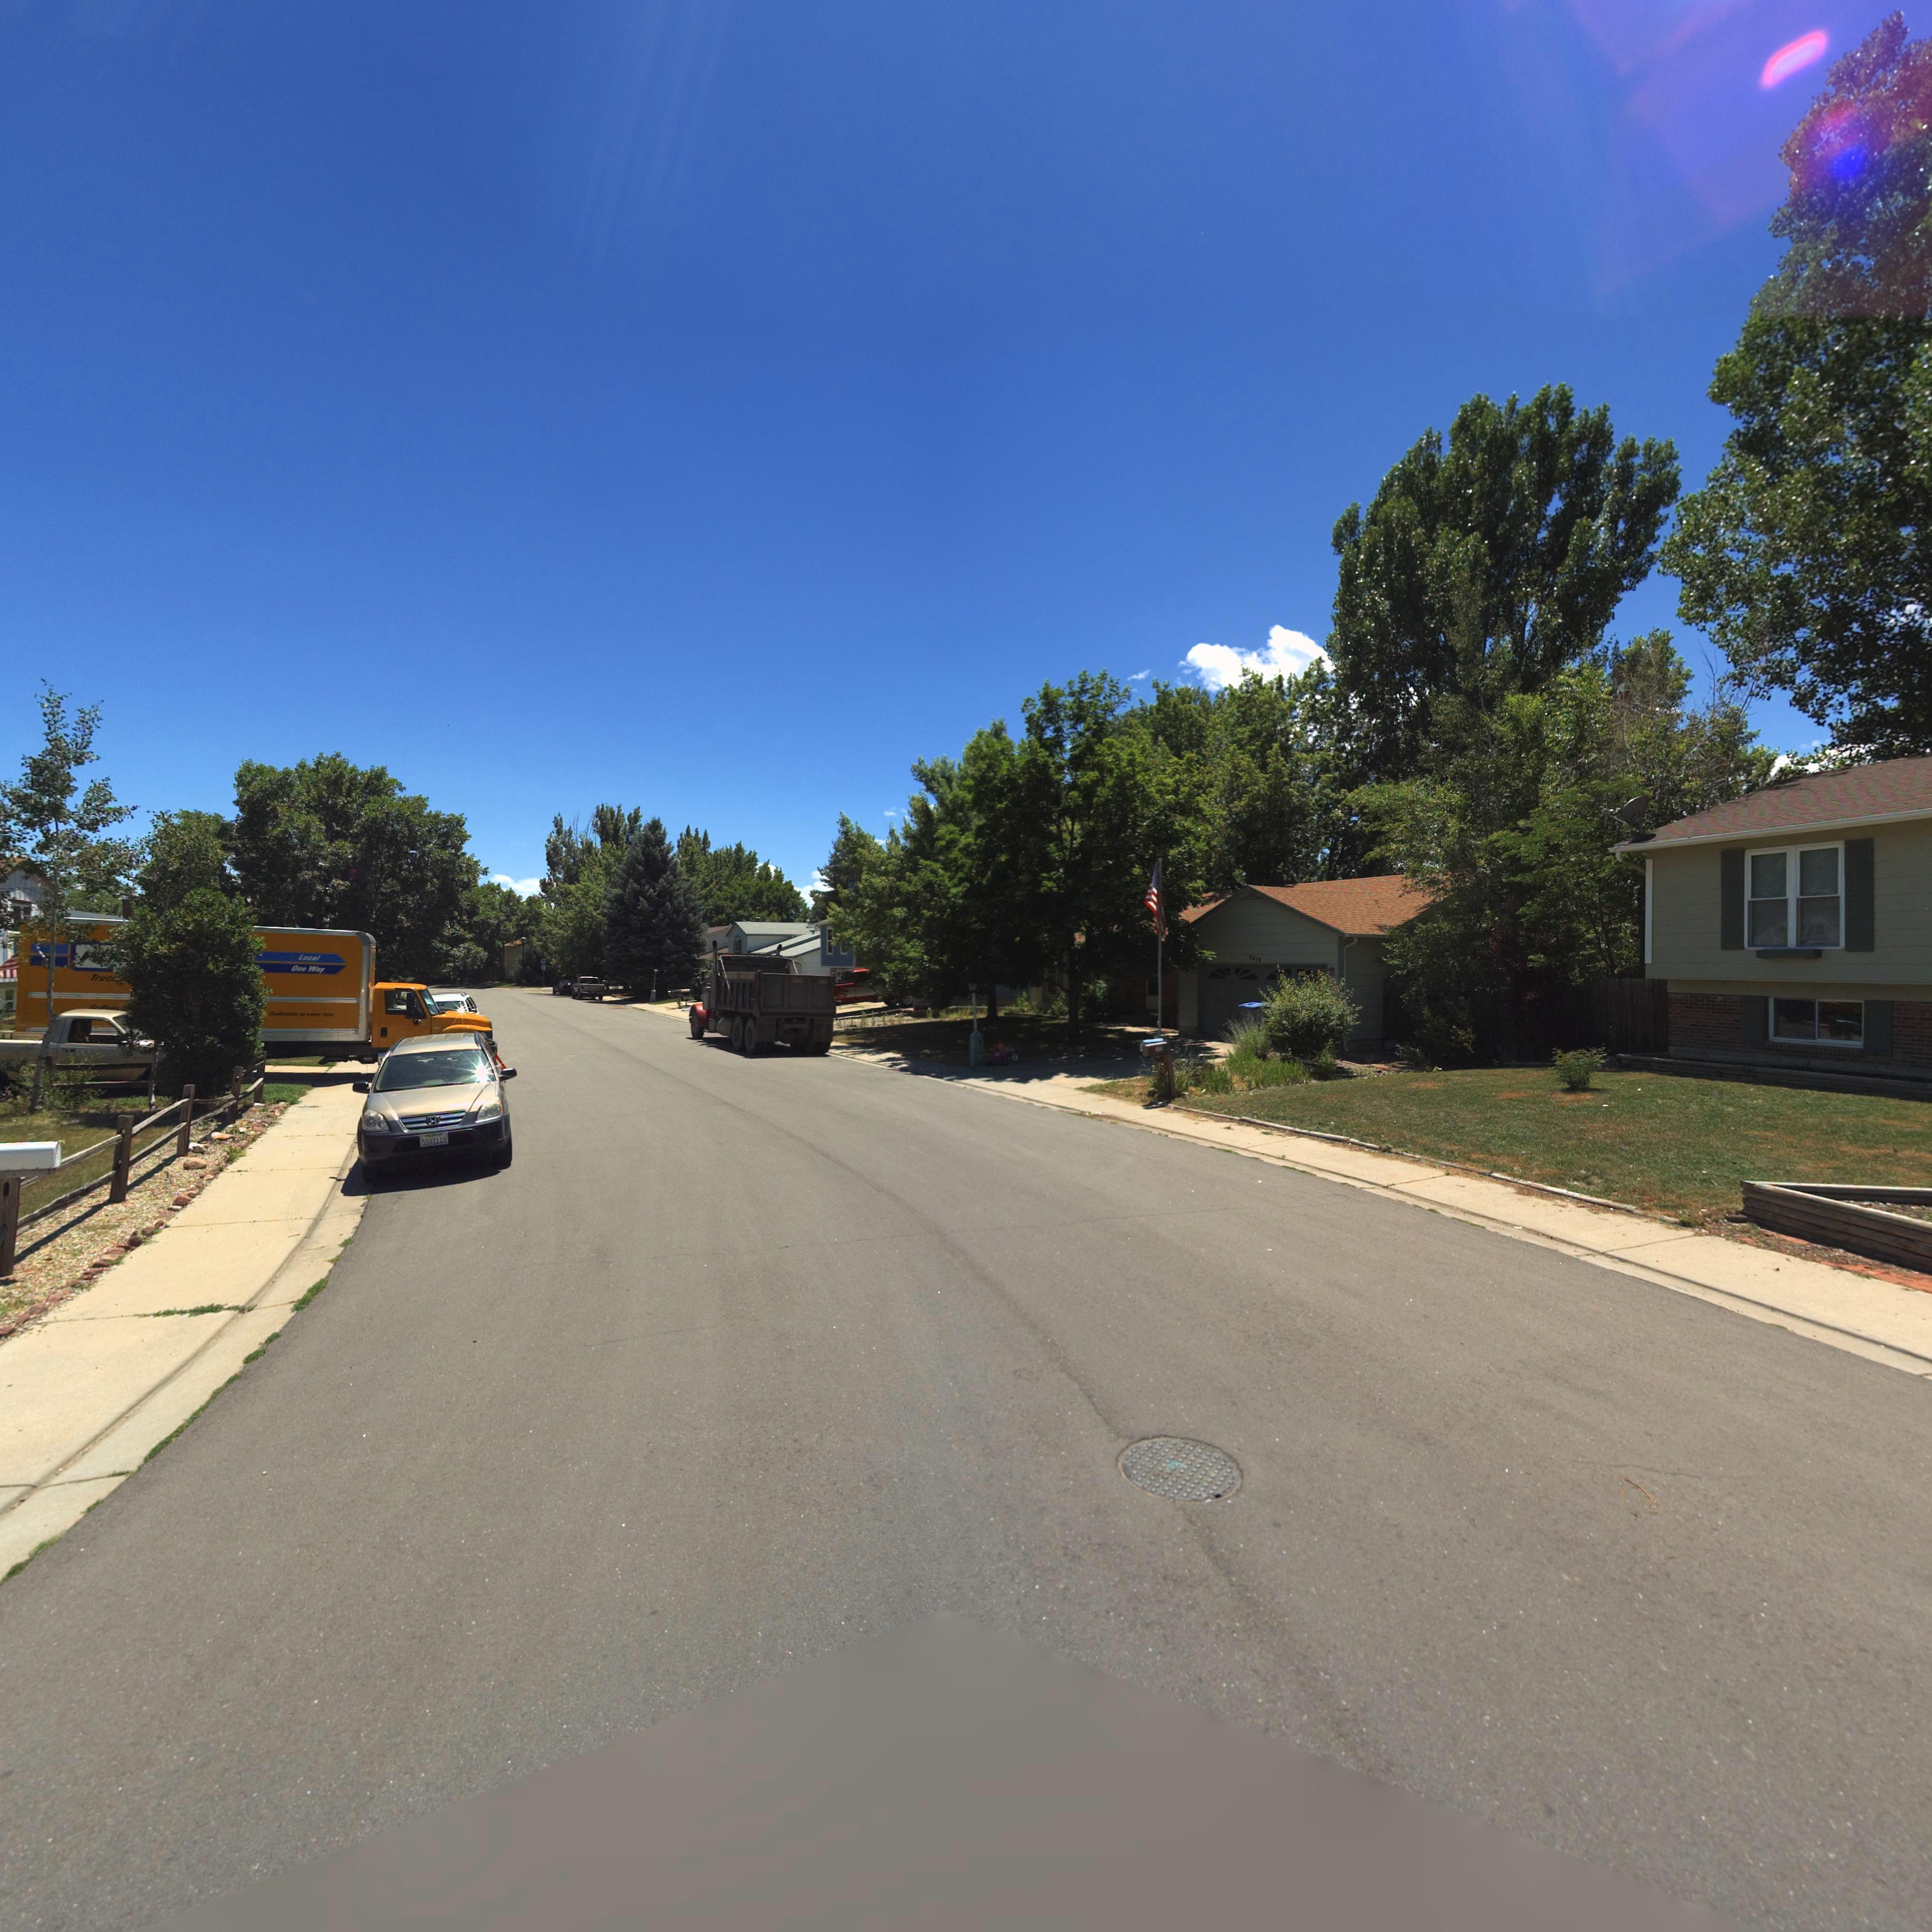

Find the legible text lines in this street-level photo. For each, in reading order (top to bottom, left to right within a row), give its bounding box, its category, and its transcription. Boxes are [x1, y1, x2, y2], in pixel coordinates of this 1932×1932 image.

[1249, 953, 1261, 963] StreetNumber: 2419